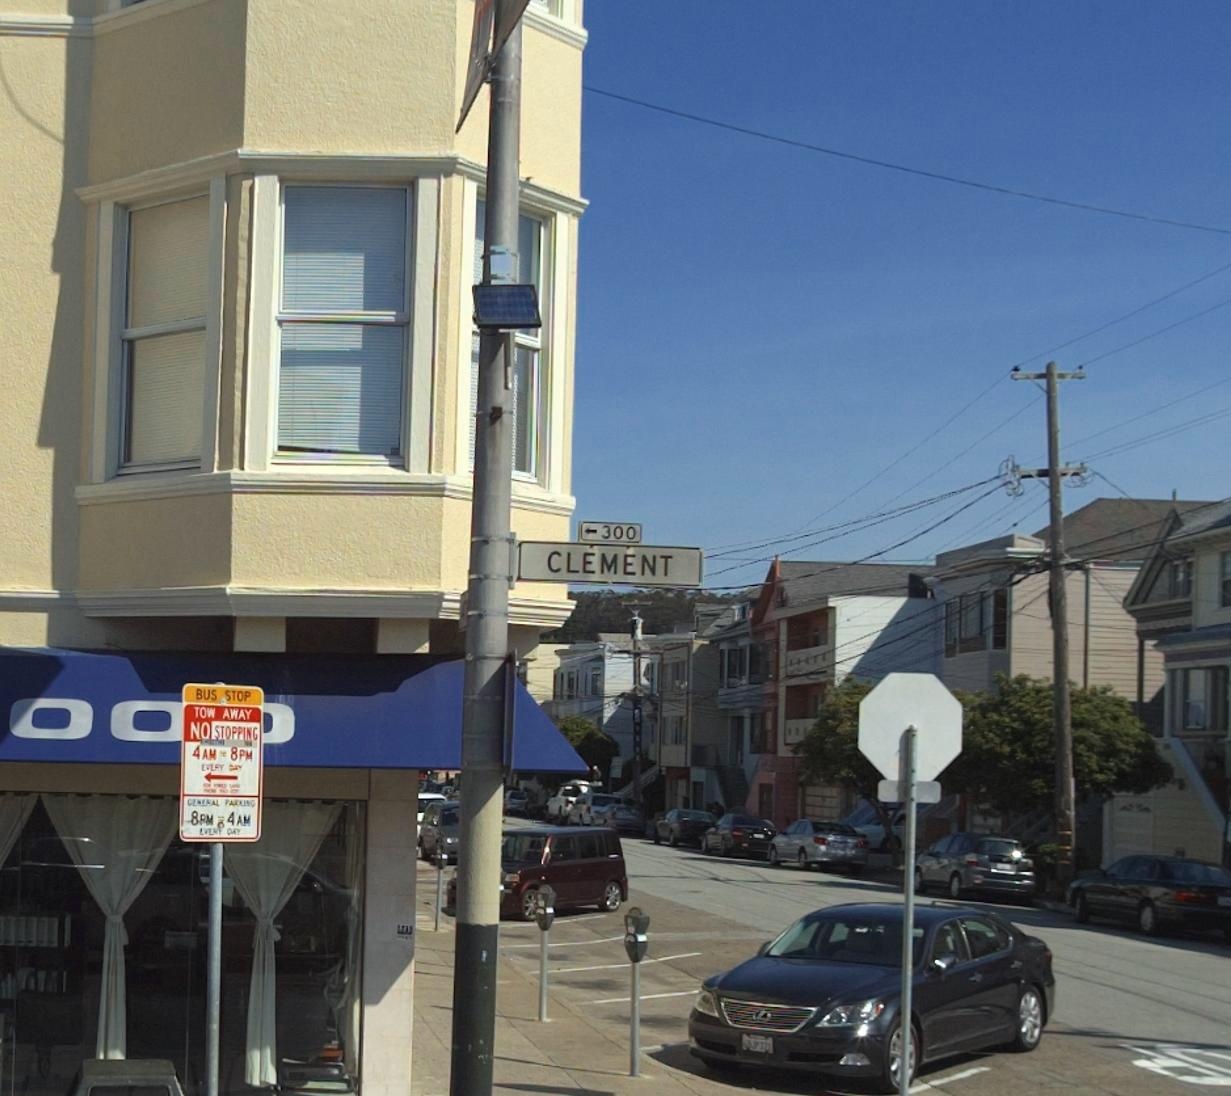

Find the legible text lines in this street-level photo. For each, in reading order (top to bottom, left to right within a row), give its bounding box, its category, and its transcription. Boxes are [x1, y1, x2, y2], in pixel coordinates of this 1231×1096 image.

[579, 520, 639, 540] StreetNumberRange: <-300
[546, 550, 673, 578] StreetName: CLEMENT
[193, 686, 251, 702] None: BUS STOP
[191, 704, 252, 721] None: TOW AWAY
[188, 721, 258, 743] None: NO STOPPING
[189, 743, 255, 764] None: 4AM to 8PM
[198, 763, 242, 770] None: EVERY DAY
[185, 796, 256, 809] None: GENERAL PARKING
[188, 808, 253, 825] None: 8PM - 4AM
[196, 826, 242, 837] None: EVENT DAY